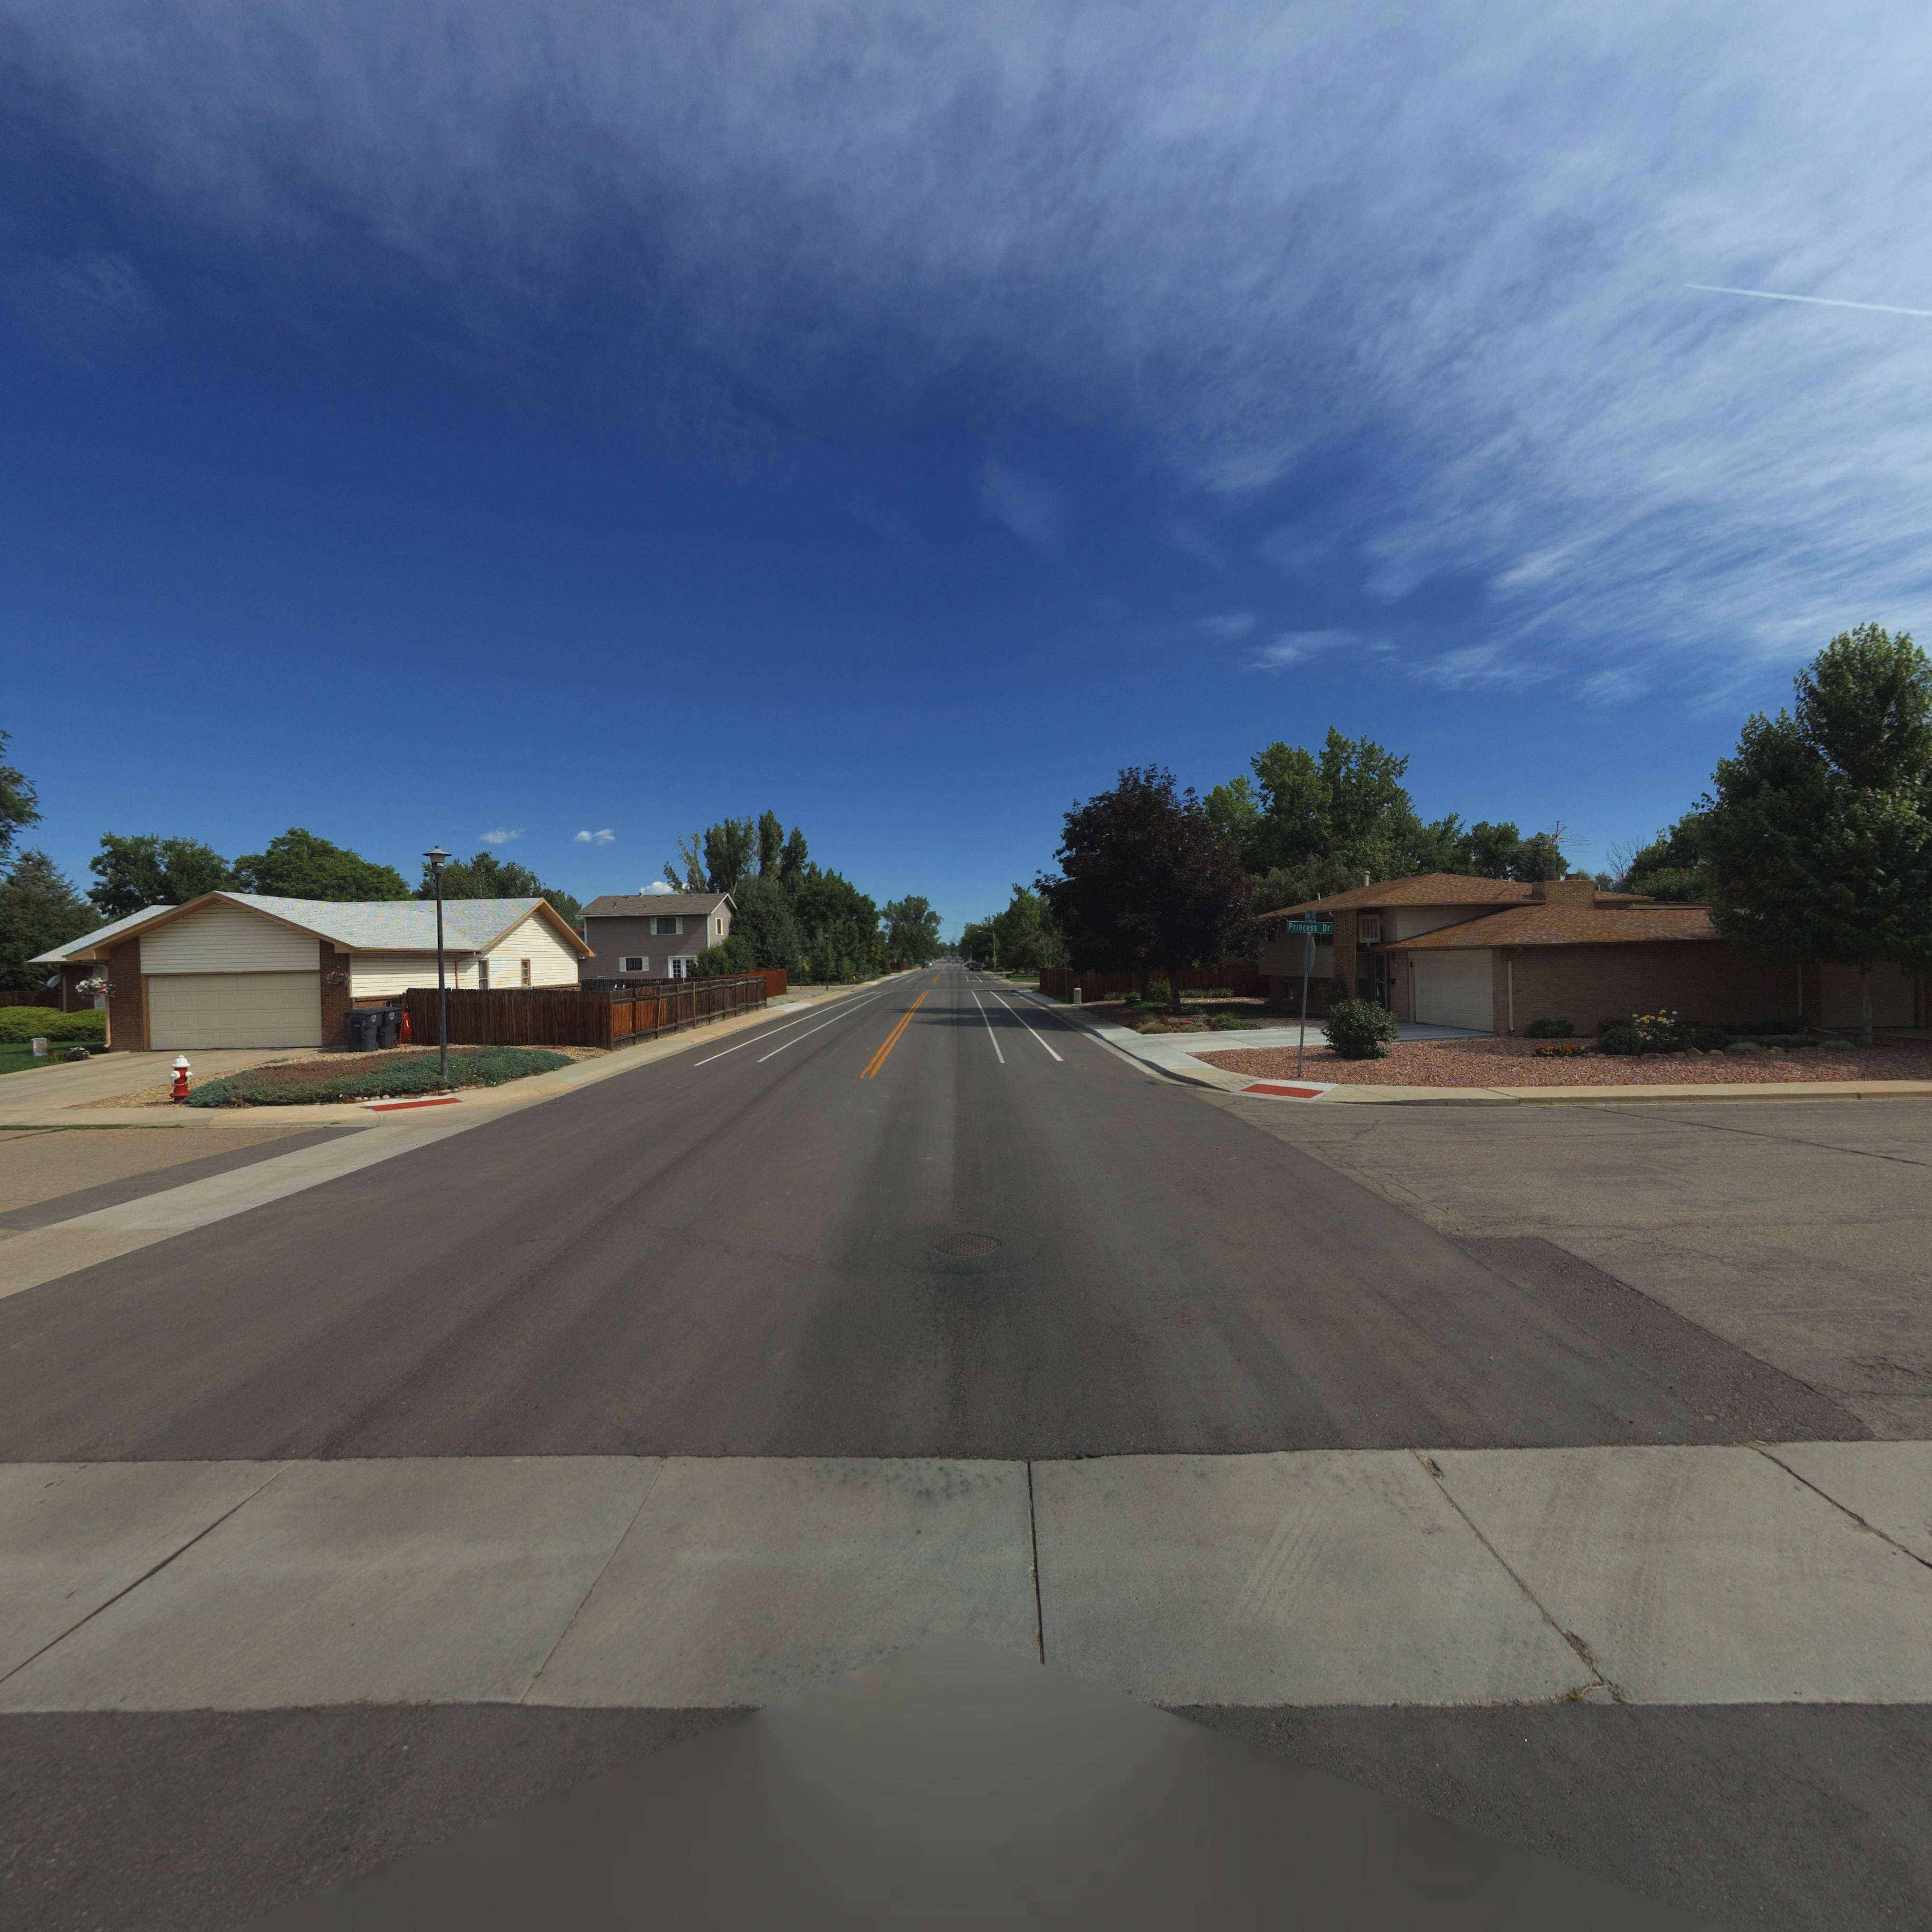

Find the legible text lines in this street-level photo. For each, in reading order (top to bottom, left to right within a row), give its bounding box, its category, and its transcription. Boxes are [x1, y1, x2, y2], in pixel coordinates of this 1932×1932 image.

[1305, 910, 1315, 920] StreetName: G** S*
[1288, 922, 1330, 932] StreetName: Princess Dr